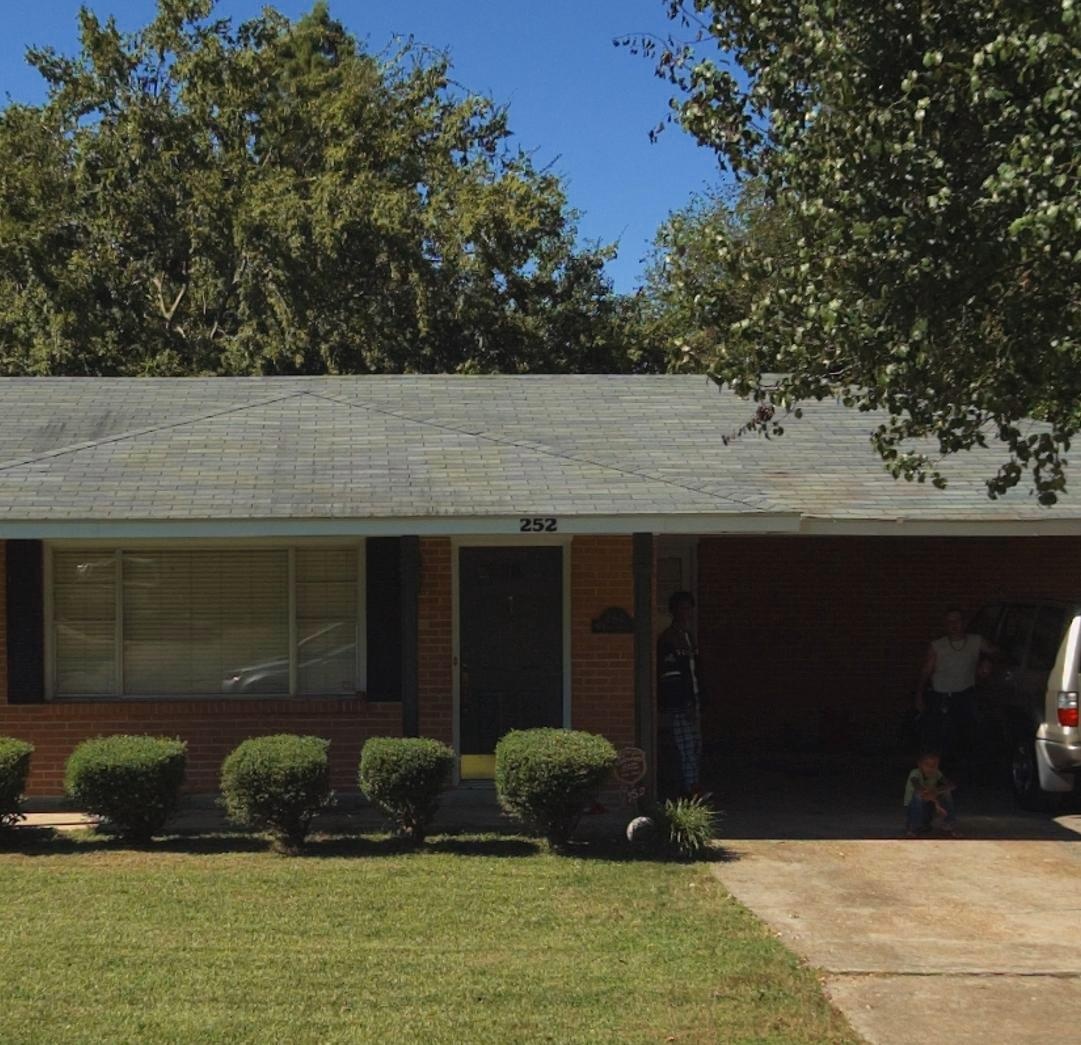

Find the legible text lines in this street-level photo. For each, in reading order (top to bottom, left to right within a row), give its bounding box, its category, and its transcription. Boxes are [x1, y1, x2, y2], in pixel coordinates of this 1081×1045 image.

[518, 516, 558, 534] StreetNumber: 252